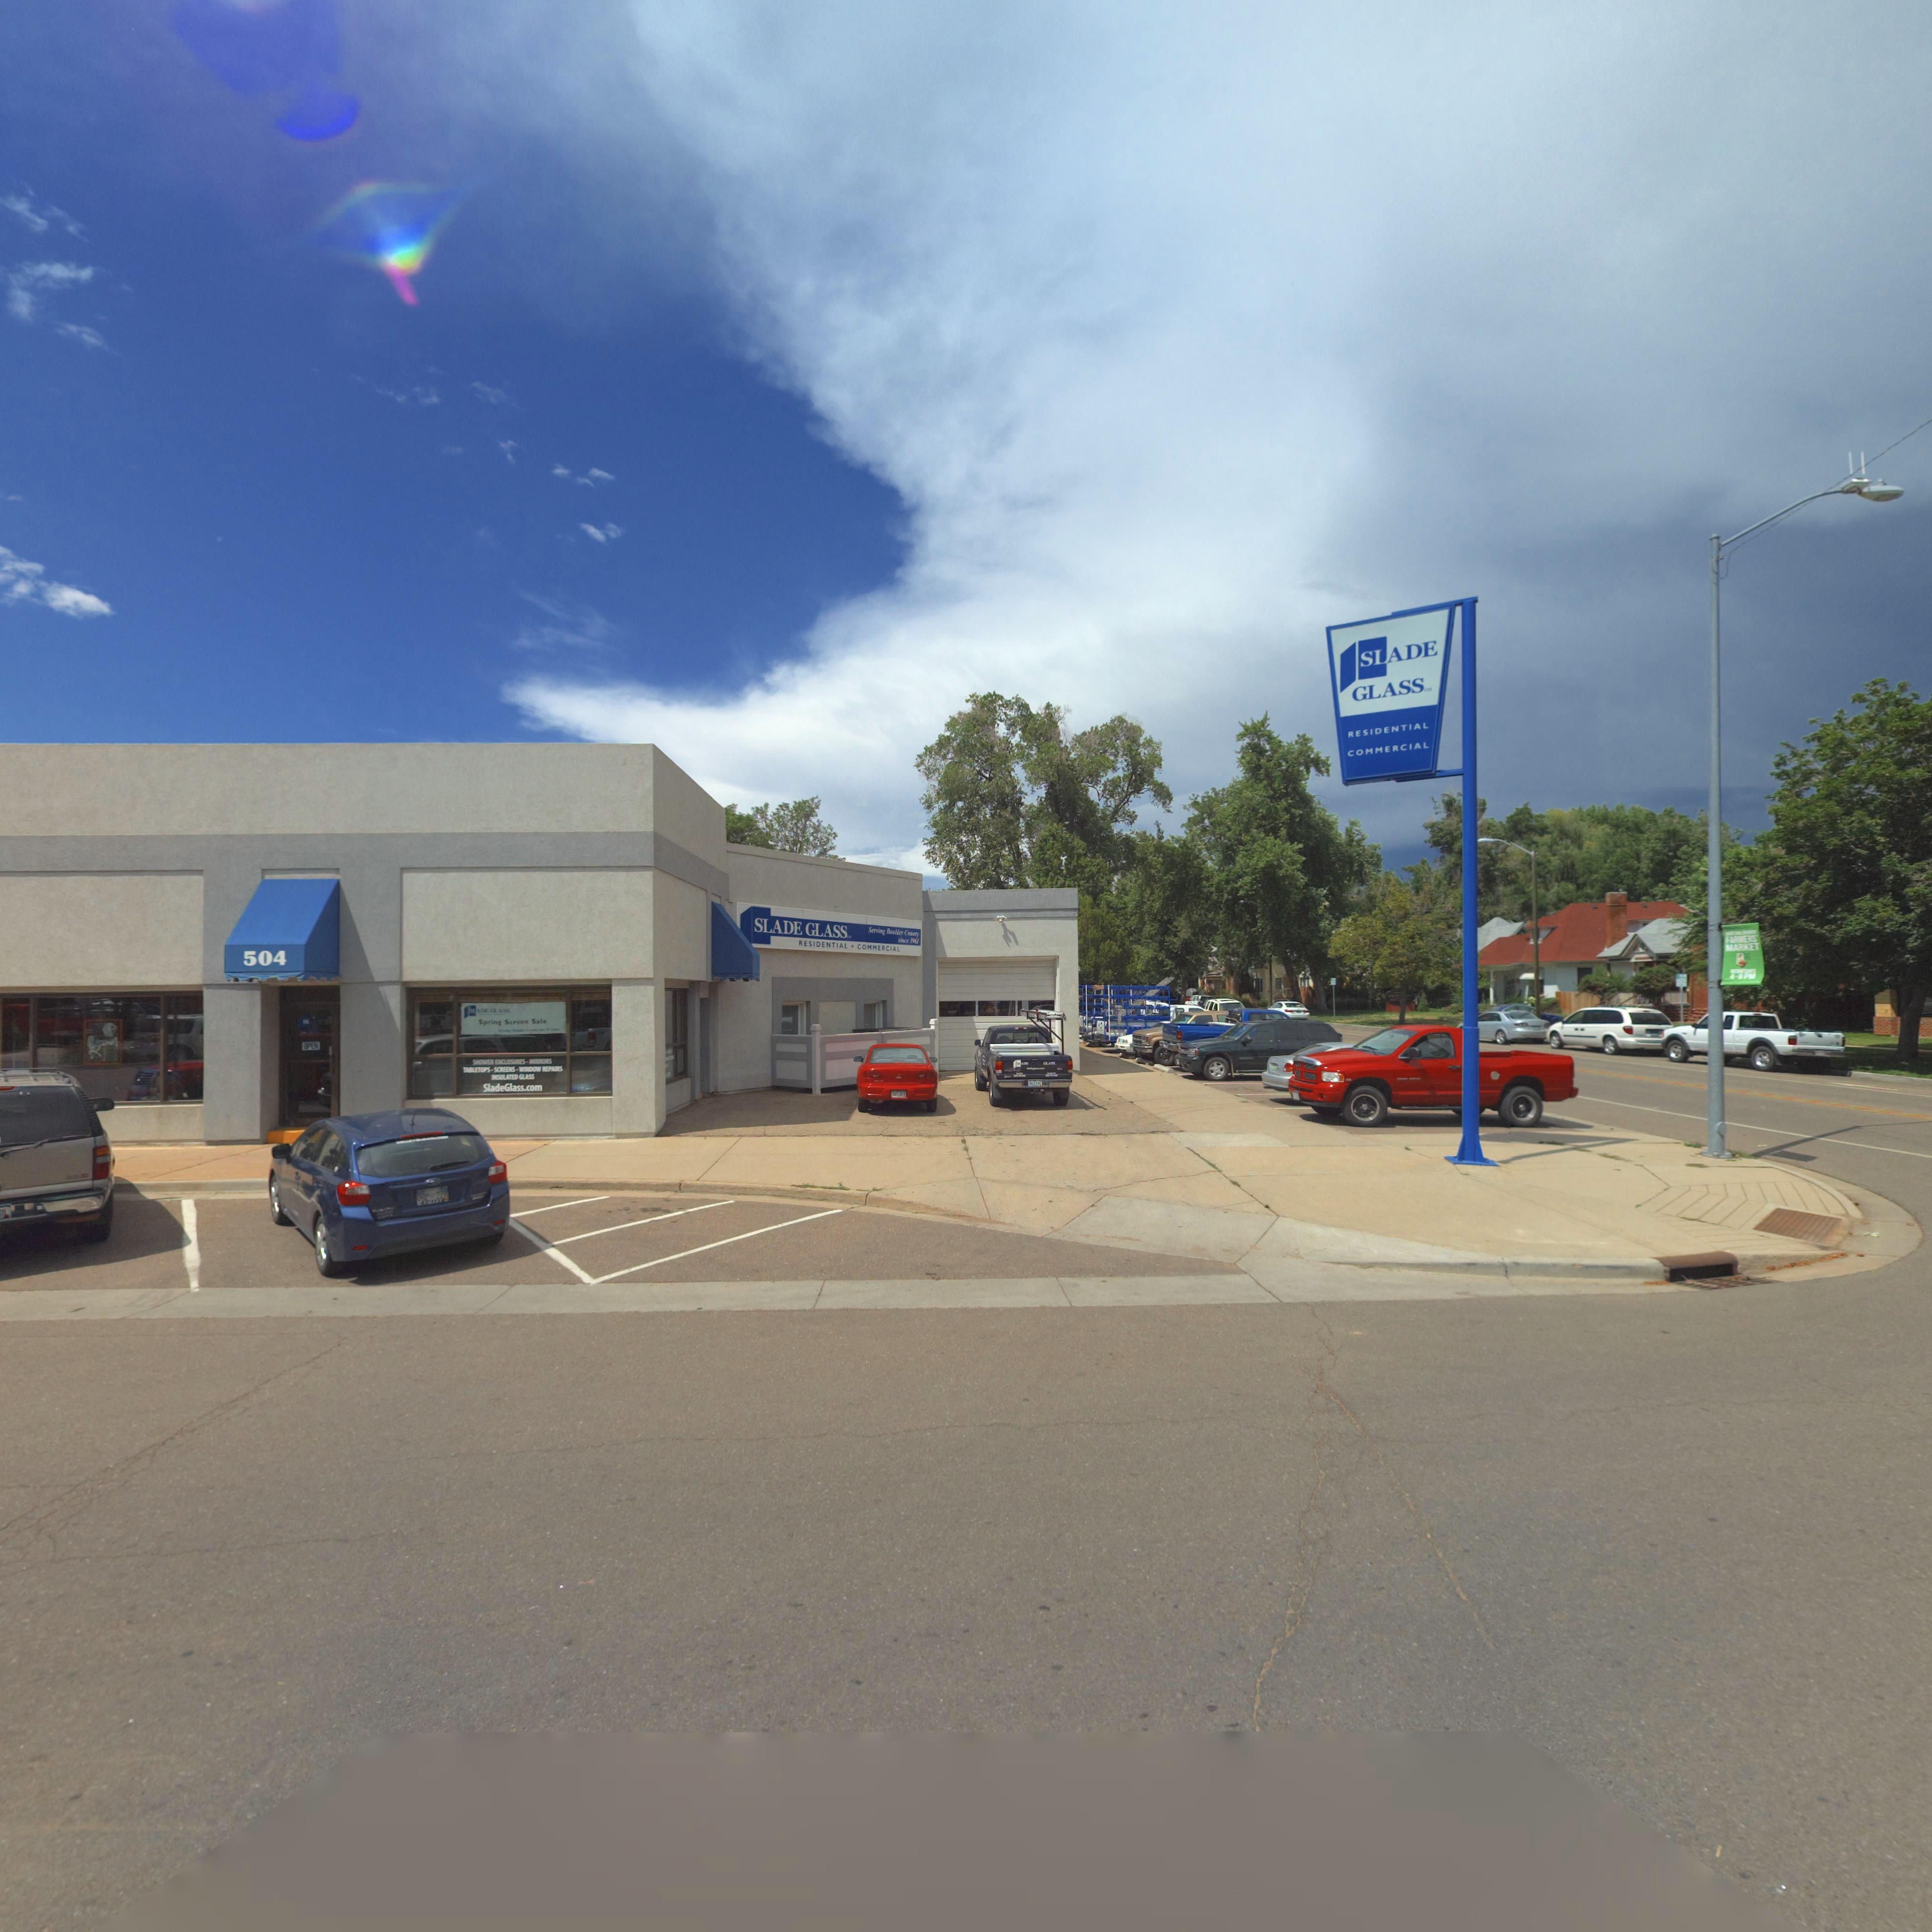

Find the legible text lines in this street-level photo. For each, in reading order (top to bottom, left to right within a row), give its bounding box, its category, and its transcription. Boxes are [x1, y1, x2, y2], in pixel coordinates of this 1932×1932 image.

[1360, 639, 1438, 667] BusinessName: SLADE
[1352, 676, 1424, 702] BusinessName: GLASS
[754, 917, 848, 938] BusinessName: SLADE GLASS
[242, 949, 287, 967] StreetNumber: 504
[468, 1008, 510, 1013] StreetNumber: SLADE GLASS